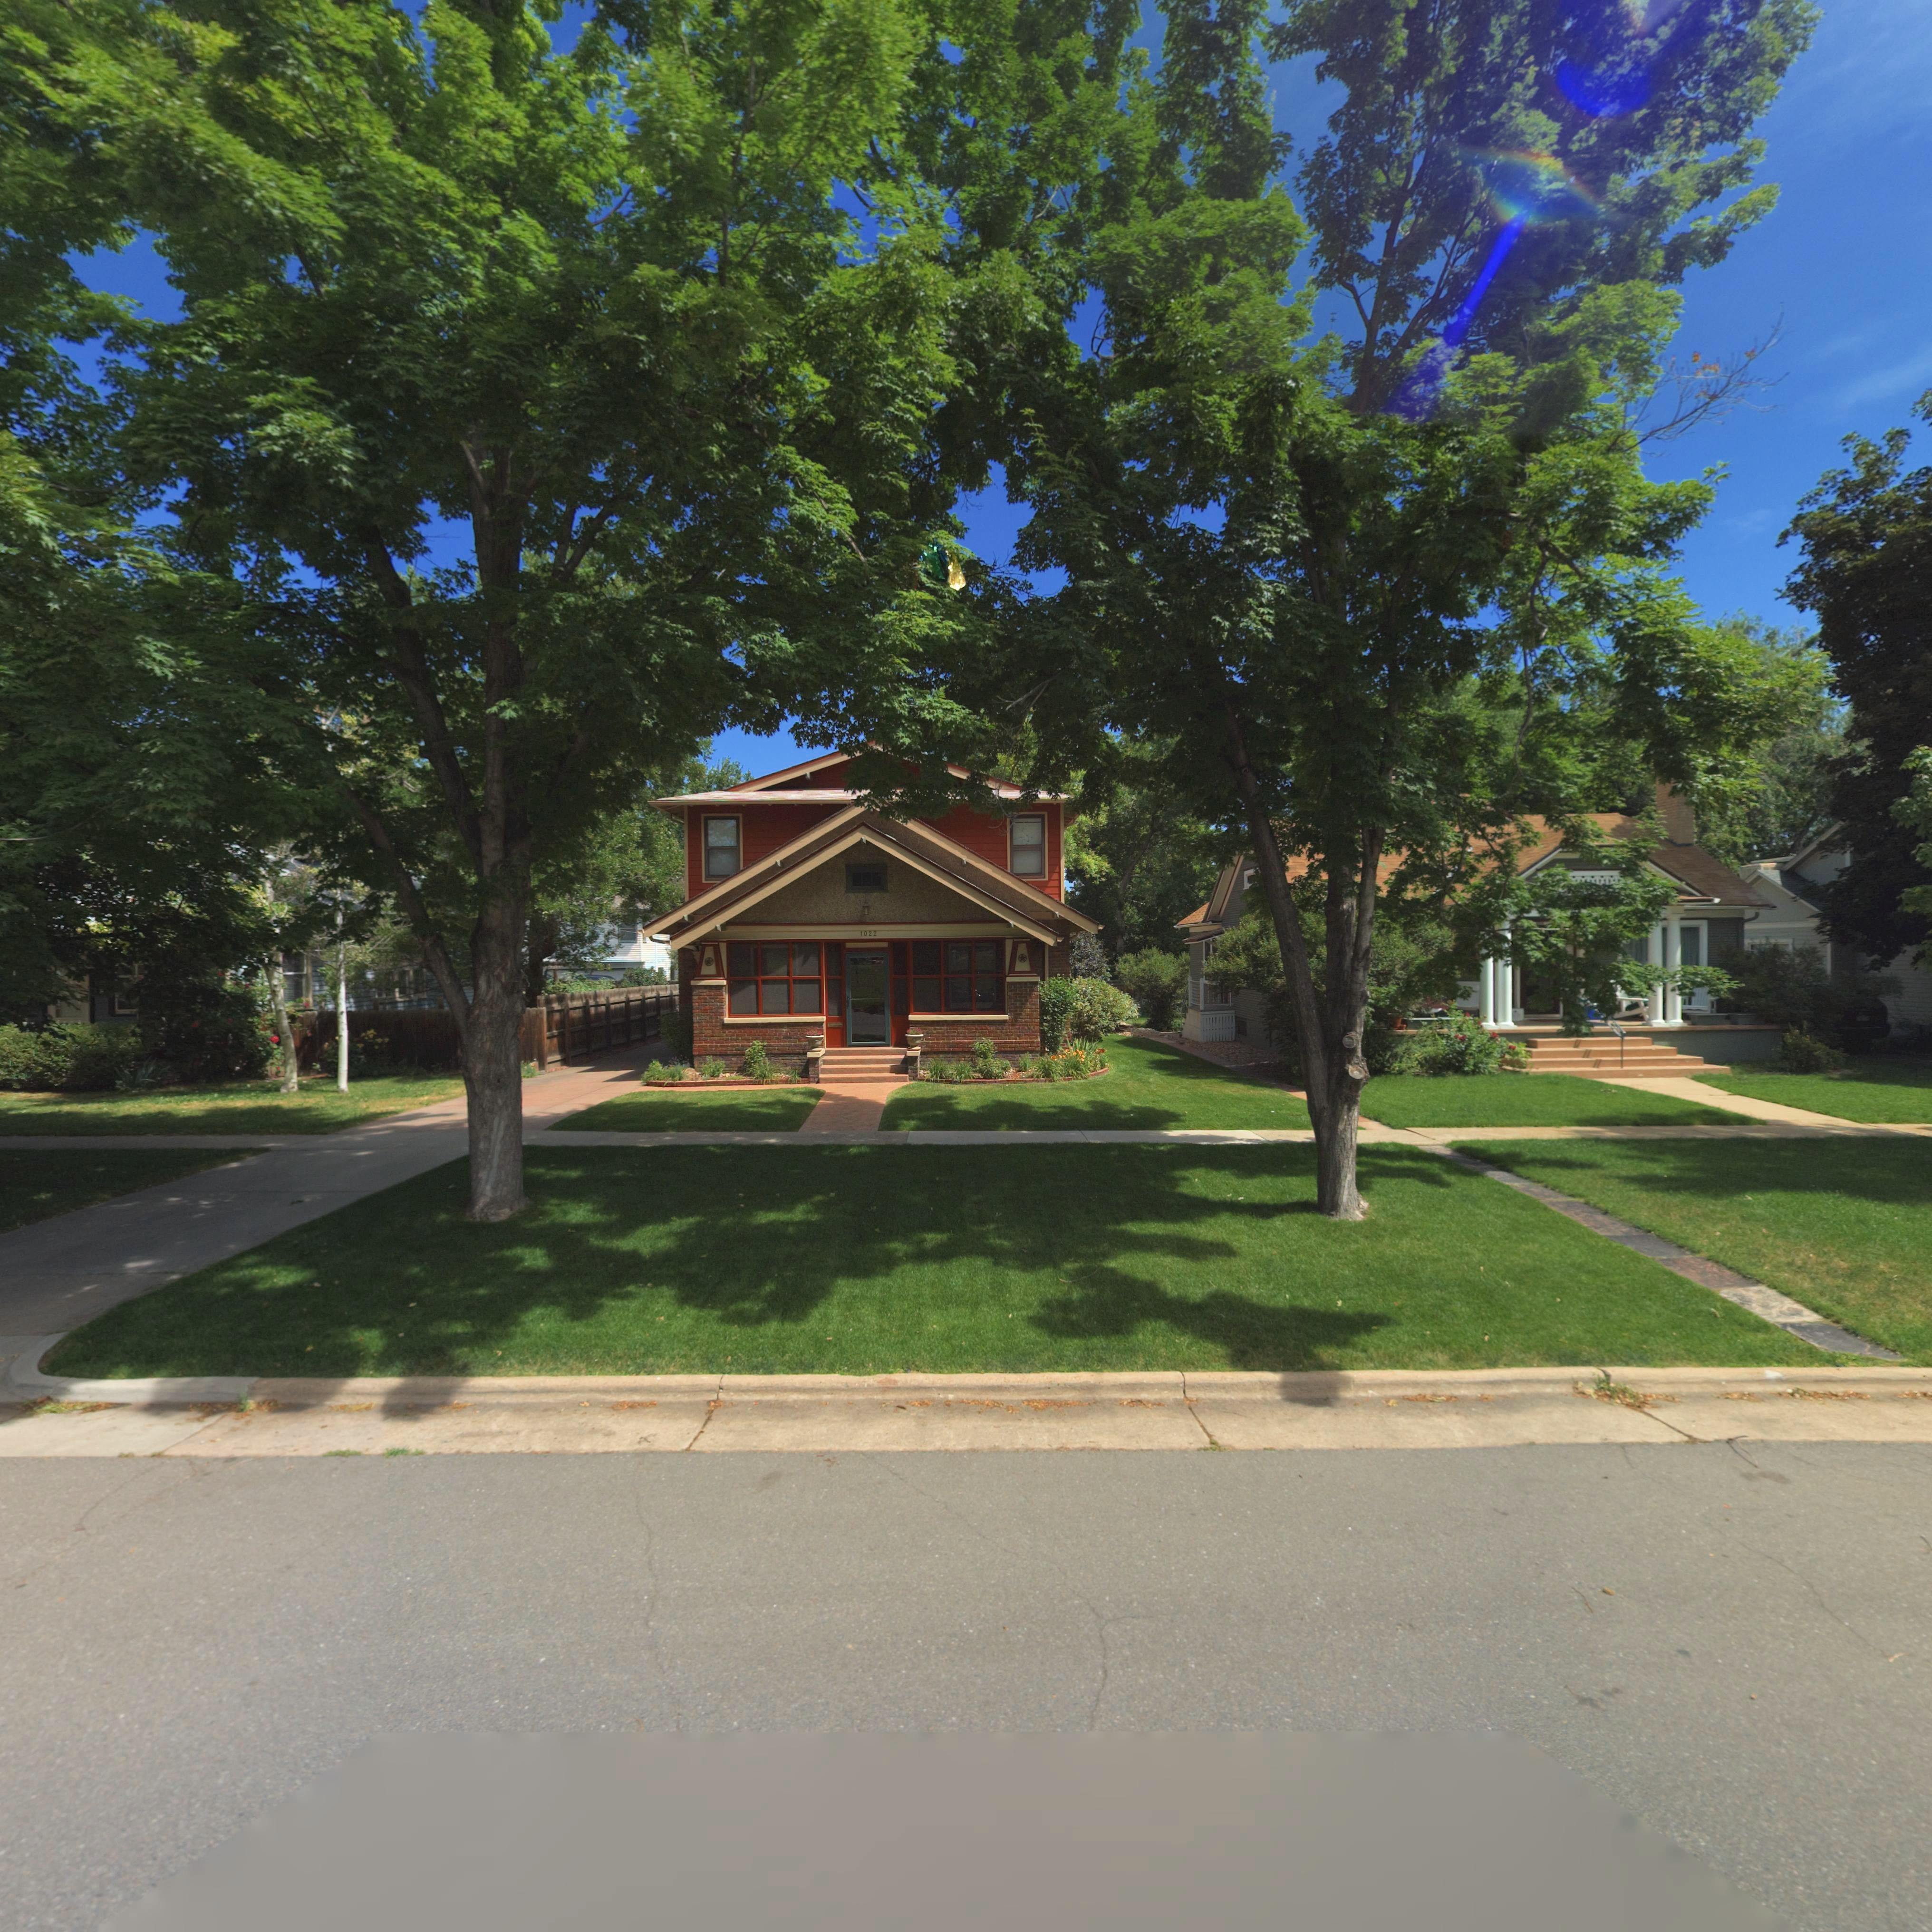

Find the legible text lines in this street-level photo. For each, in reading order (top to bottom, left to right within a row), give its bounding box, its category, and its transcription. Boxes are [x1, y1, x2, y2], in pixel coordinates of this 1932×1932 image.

[860, 930, 877, 937] StreetNumber: 1022